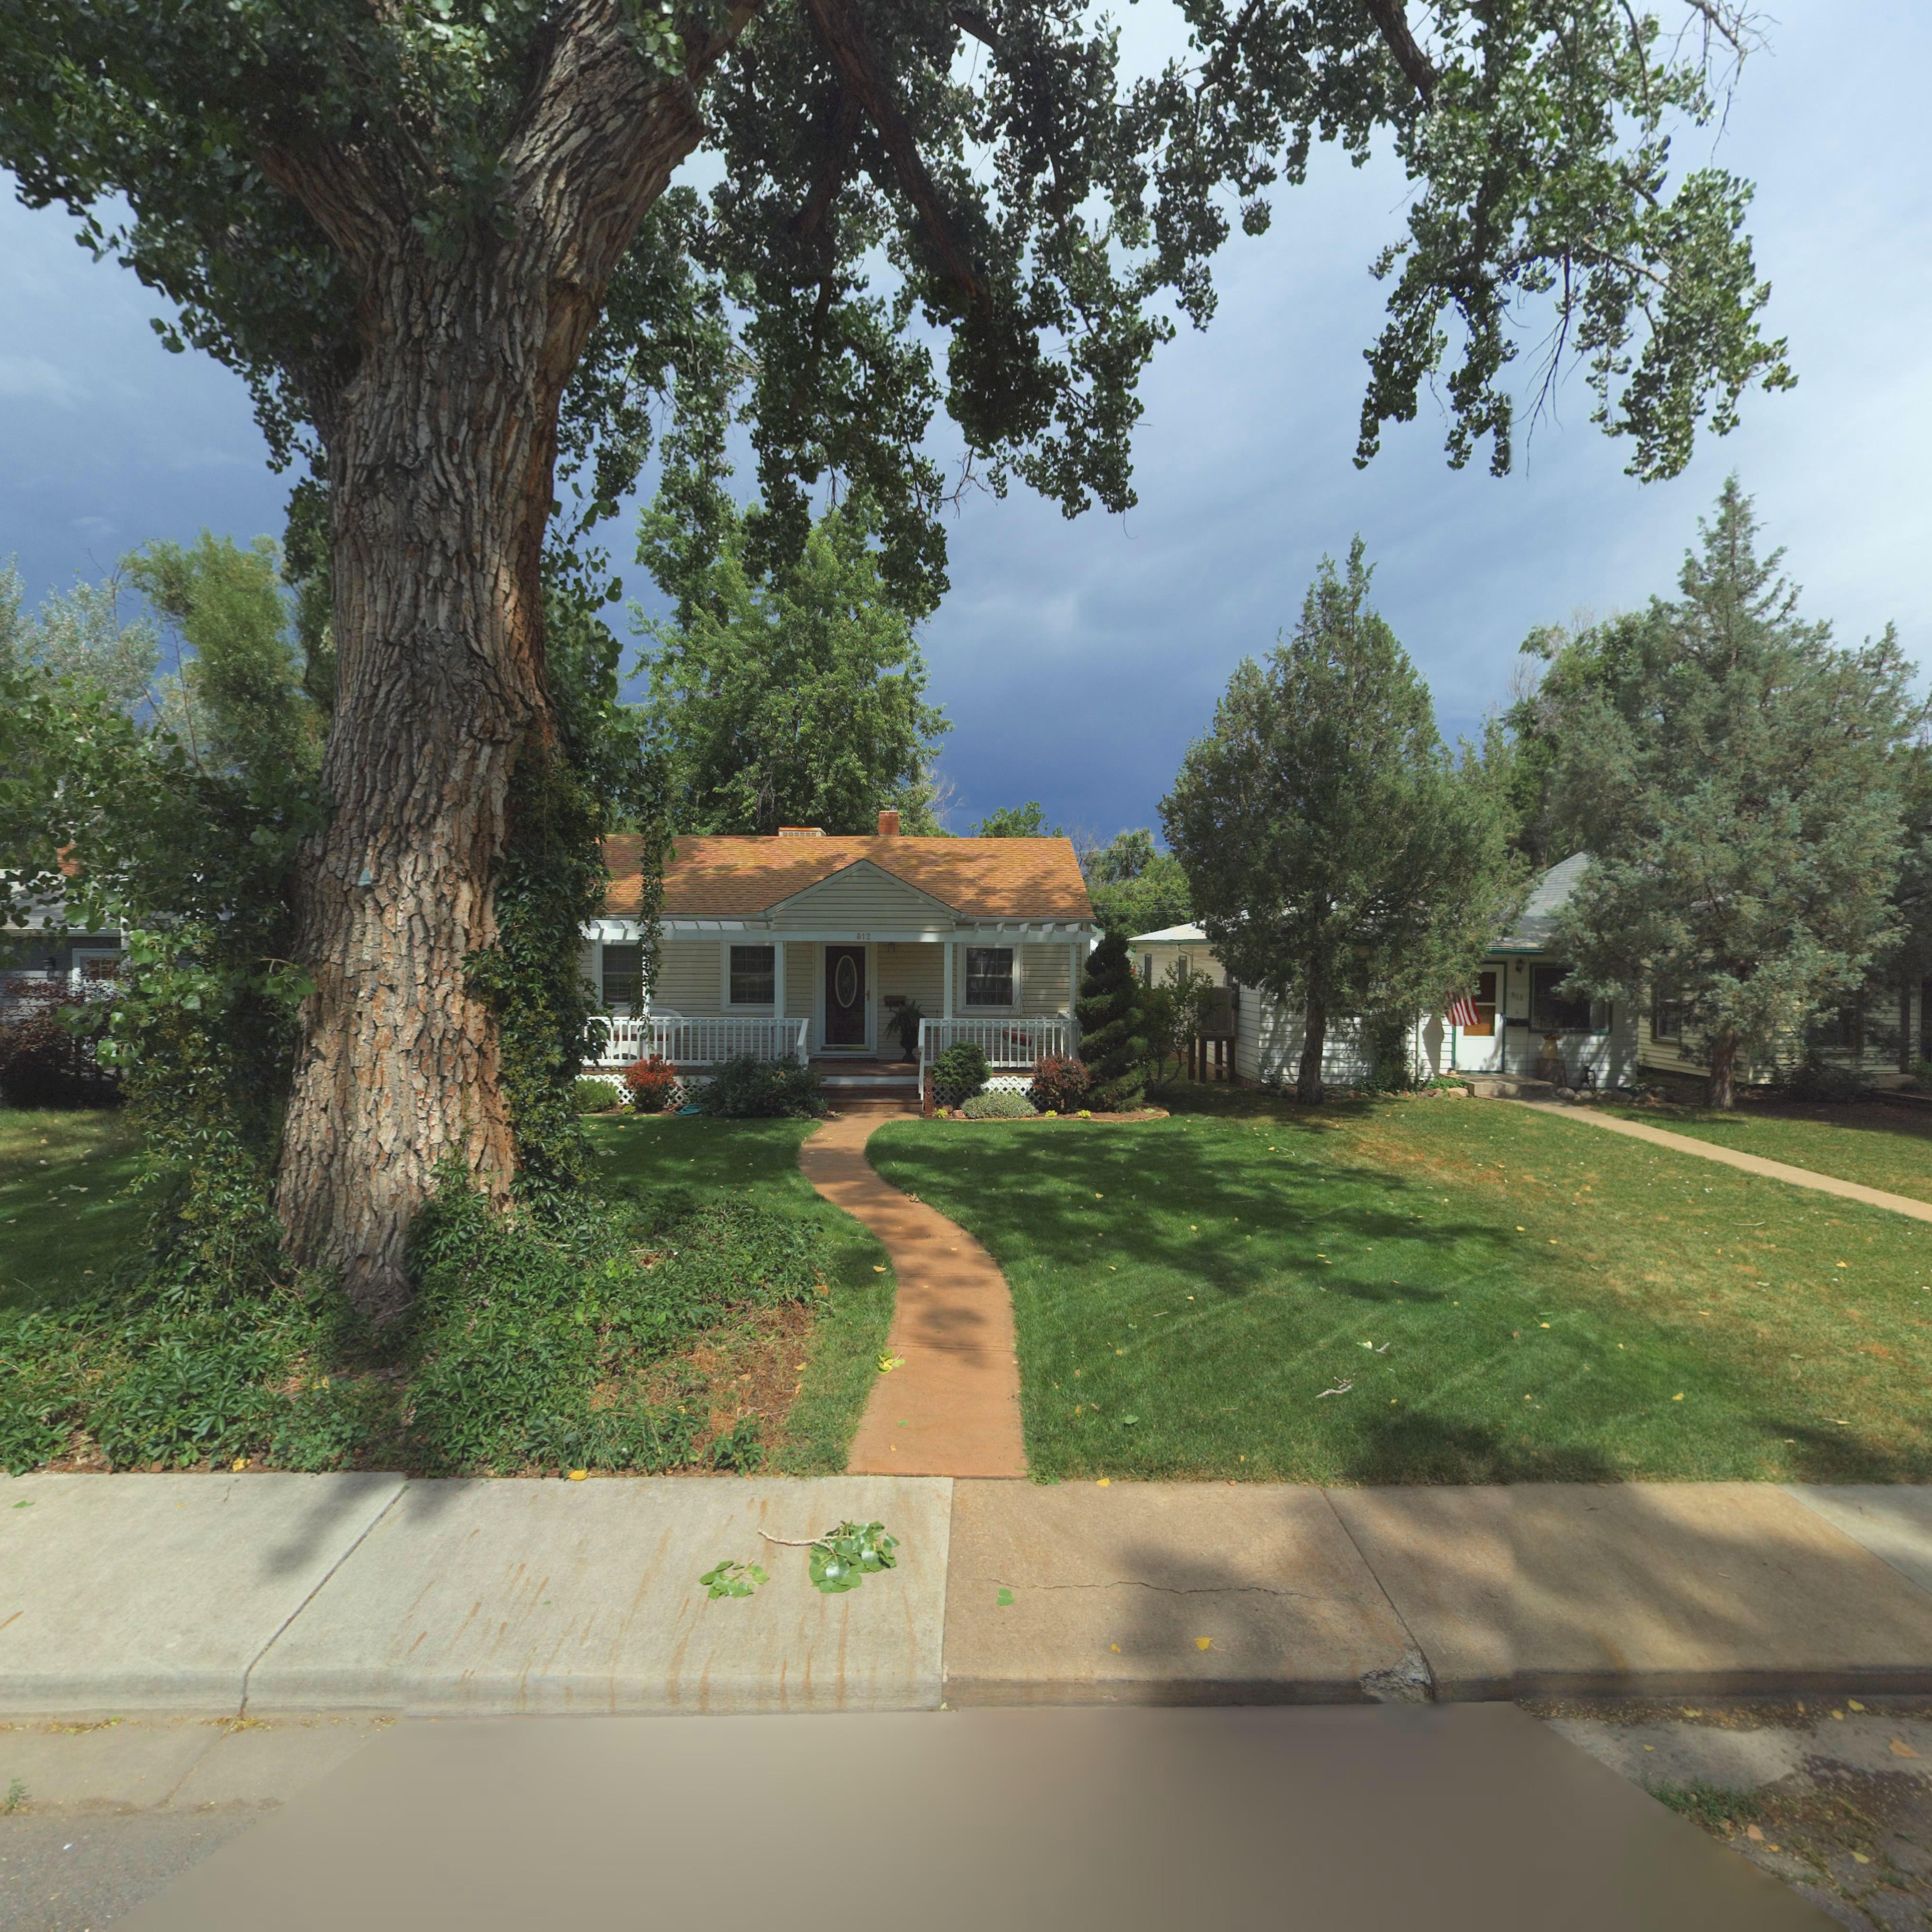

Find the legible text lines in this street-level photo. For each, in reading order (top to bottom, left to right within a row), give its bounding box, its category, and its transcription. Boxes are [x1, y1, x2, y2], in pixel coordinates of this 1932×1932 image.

[856, 932, 871, 940] StreetNumber: 812
[1510, 990, 1524, 1002] StreetNumber: 808